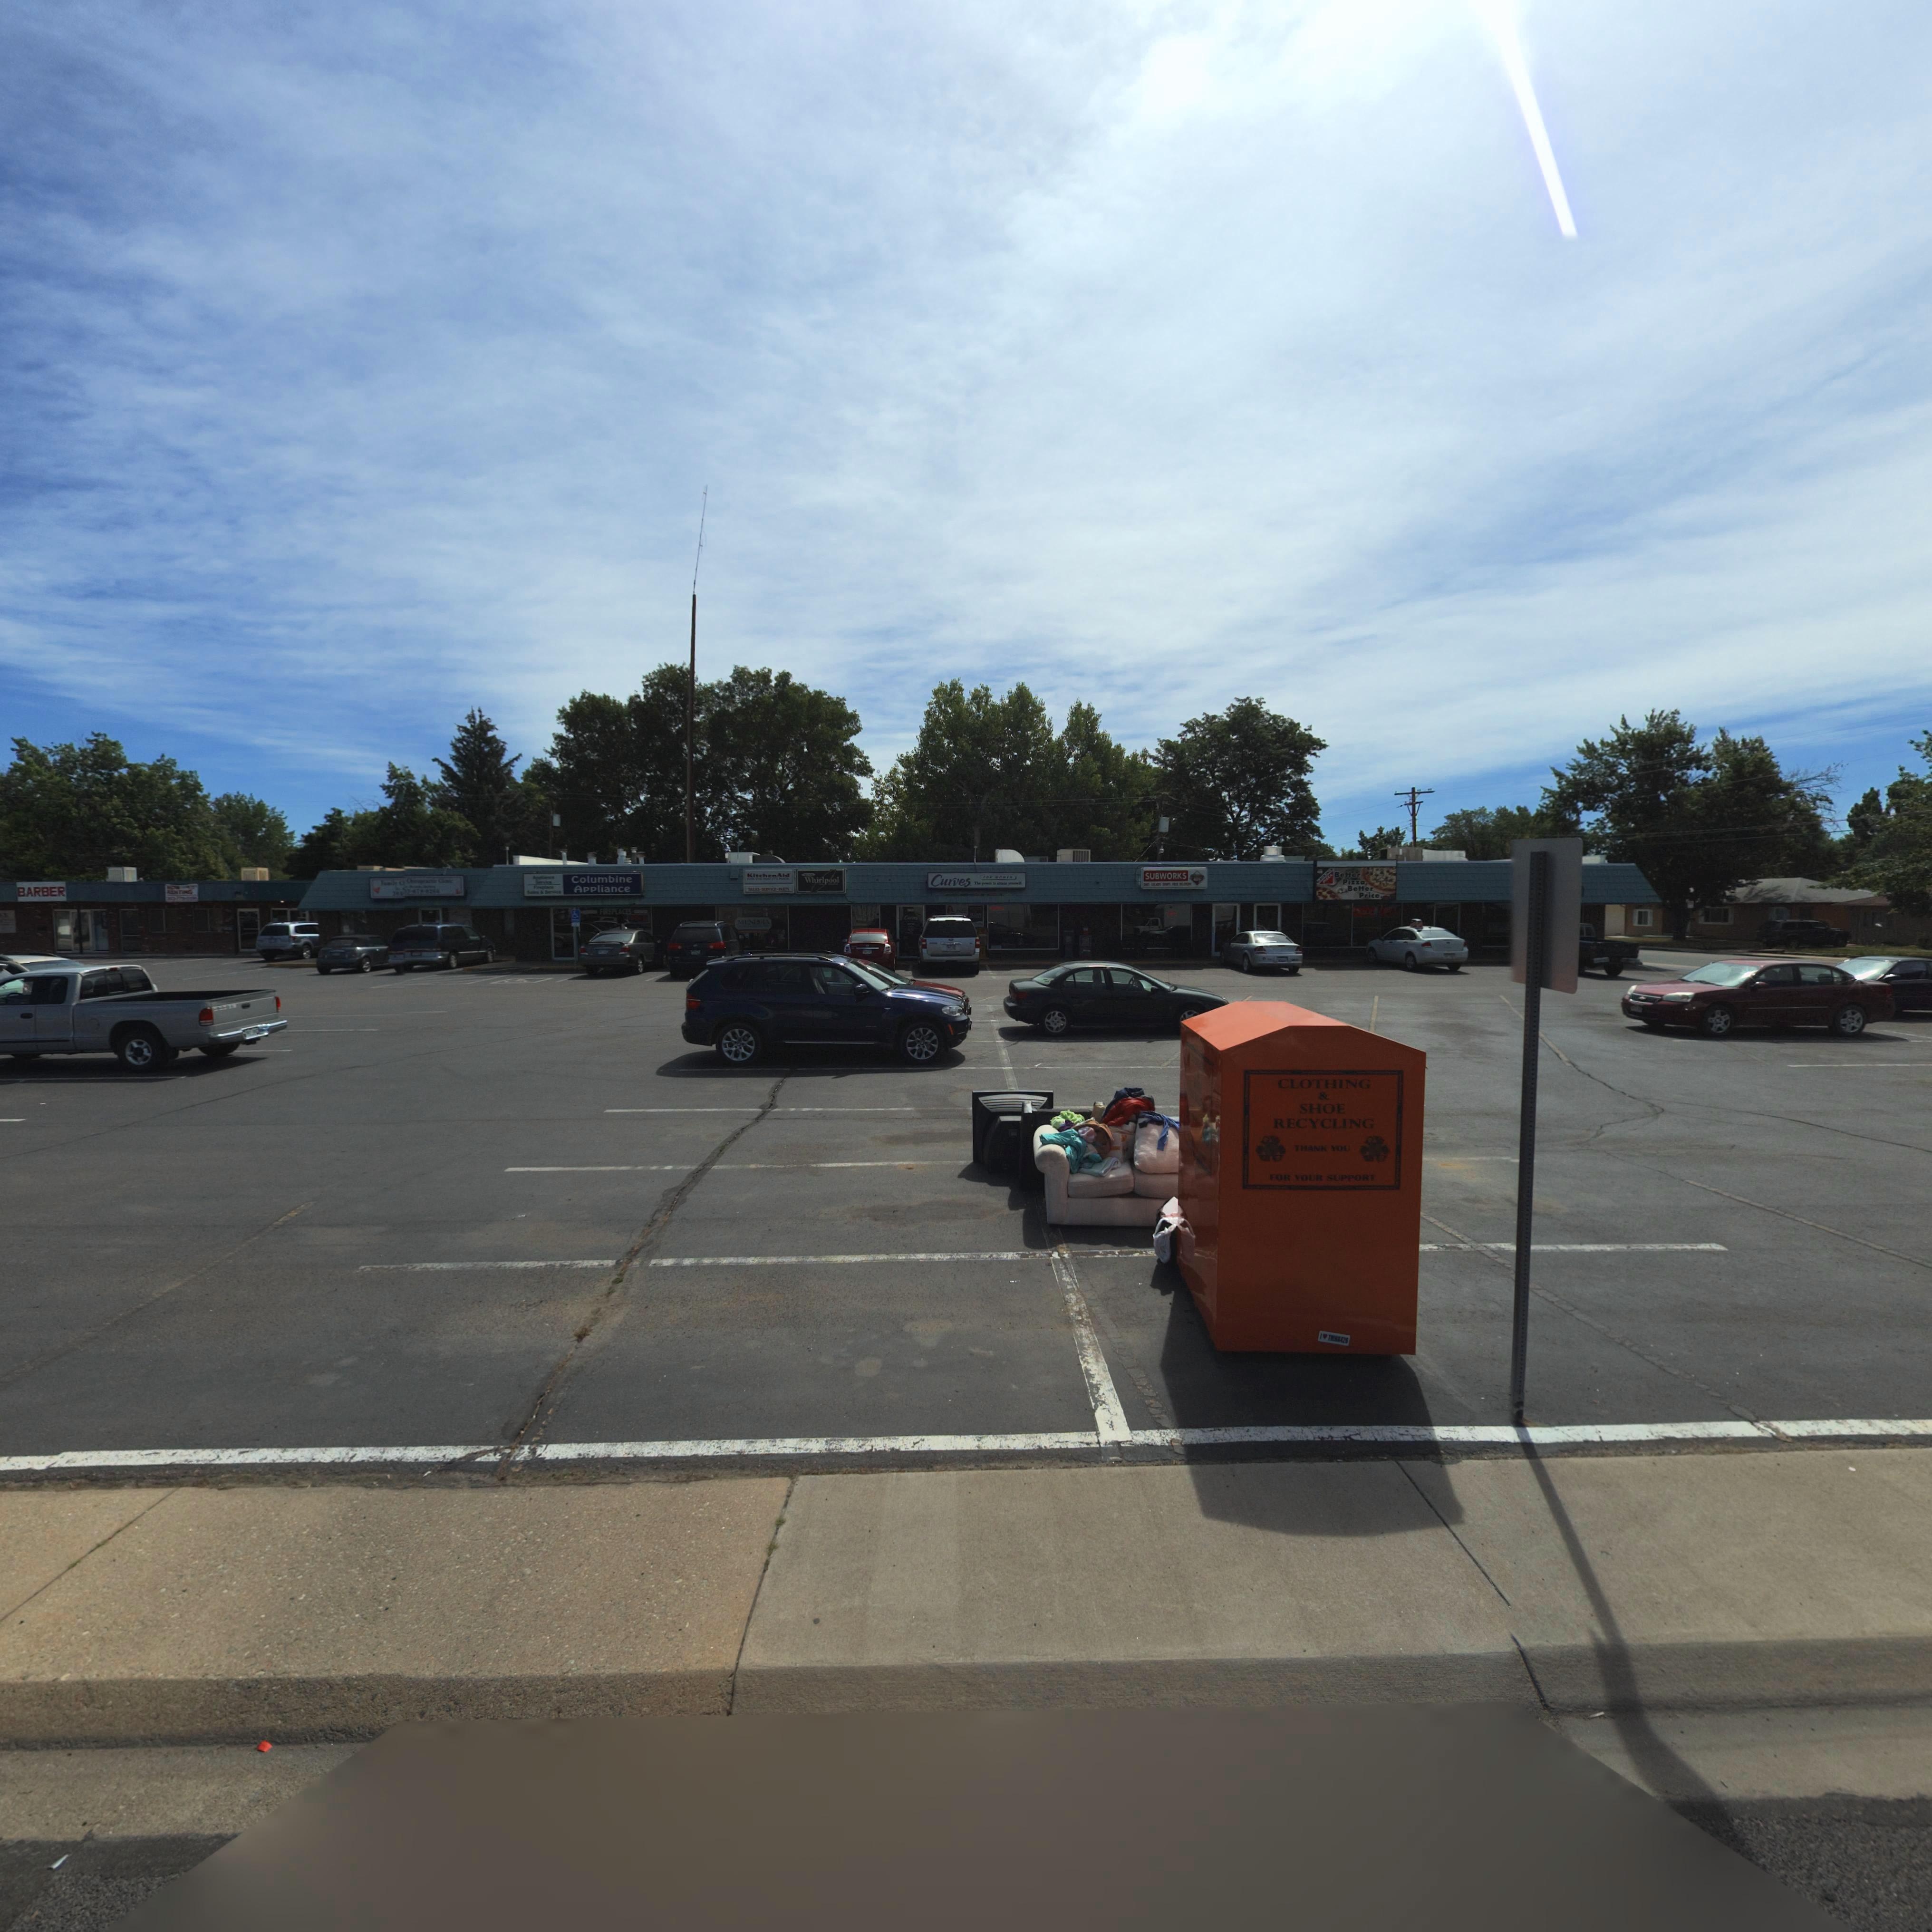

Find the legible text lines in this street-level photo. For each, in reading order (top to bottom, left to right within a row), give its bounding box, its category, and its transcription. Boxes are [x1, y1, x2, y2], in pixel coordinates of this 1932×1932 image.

[380, 878, 453, 889] BusinessName: Family CChi******** Cli****c
[570, 875, 633, 884] BusinessName: Columbine
[929, 873, 971, 888] BusinessName: Curves
[983, 875, 1013, 879] BusinessName: *** WOMEN
[1145, 872, 1187, 880] BusinessName: SUBWORKS
[1315, 868, 1333, 884] BusinessName: **ACKJA*K
[1322, 873, 1333, 883] BusinessName: PIZZA
[573, 885, 631, 893] BusinessName: Appliance
[903, 915, 918, 920] BusinessName: Curves